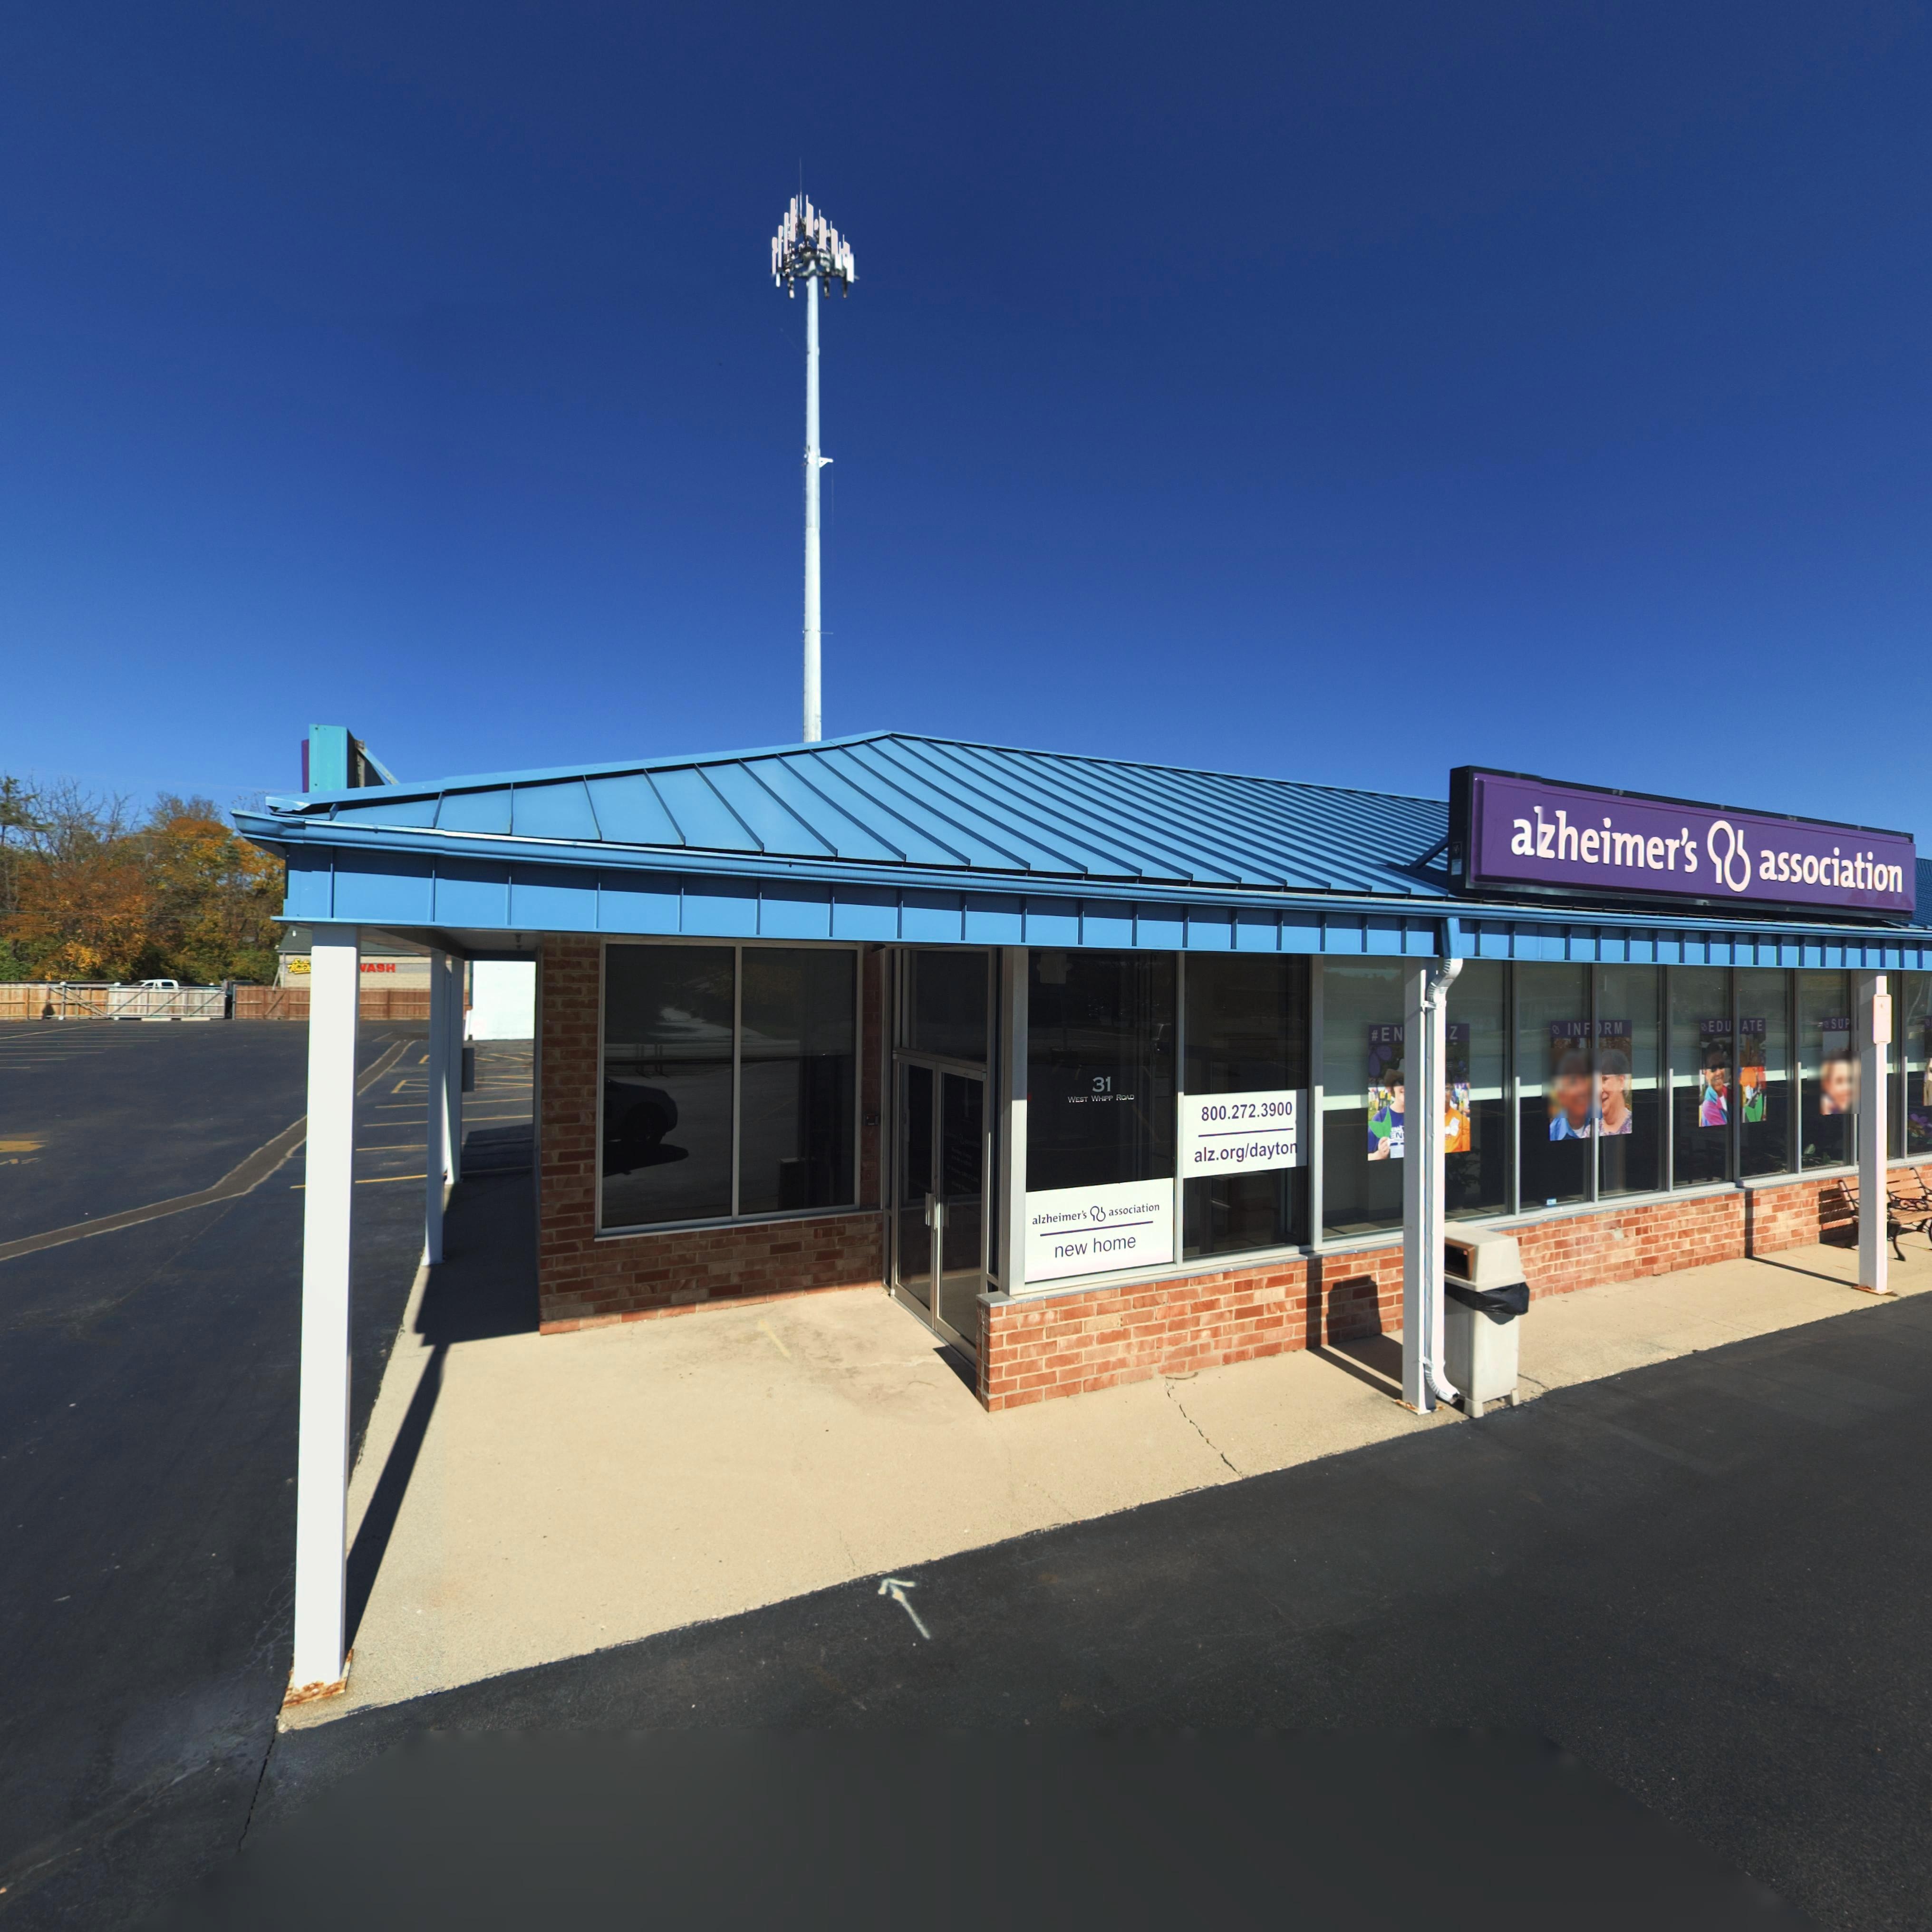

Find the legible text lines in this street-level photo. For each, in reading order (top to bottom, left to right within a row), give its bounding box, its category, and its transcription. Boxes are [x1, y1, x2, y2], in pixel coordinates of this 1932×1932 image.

[1508, 803, 1904, 895] BusinessName: a*zheimer's * association
[365, 963, 396, 973] None: ASH
[1380, 1024, 1459, 1043] None: EN****Z
[1565, 1020, 1624, 1036] None: INF*RM
[1708, 1018, 1764, 1033] None: EDU*ATE
[1830, 1017, 1851, 1030] None: SUP
[1091, 1074, 1113, 1093] StreetNumber: 31
[1066, 1093, 1135, 1104] StreetName: WEST WHIPP ROAD
[1200, 1101, 1293, 1122] None: 800.272.3900
[1194, 1141, 1298, 1163] None: alz.org/dayton
[1032, 1202, 1160, 1226] BusinessName: alzheimer's * association
[1054, 1236, 1136, 1259] None: new home